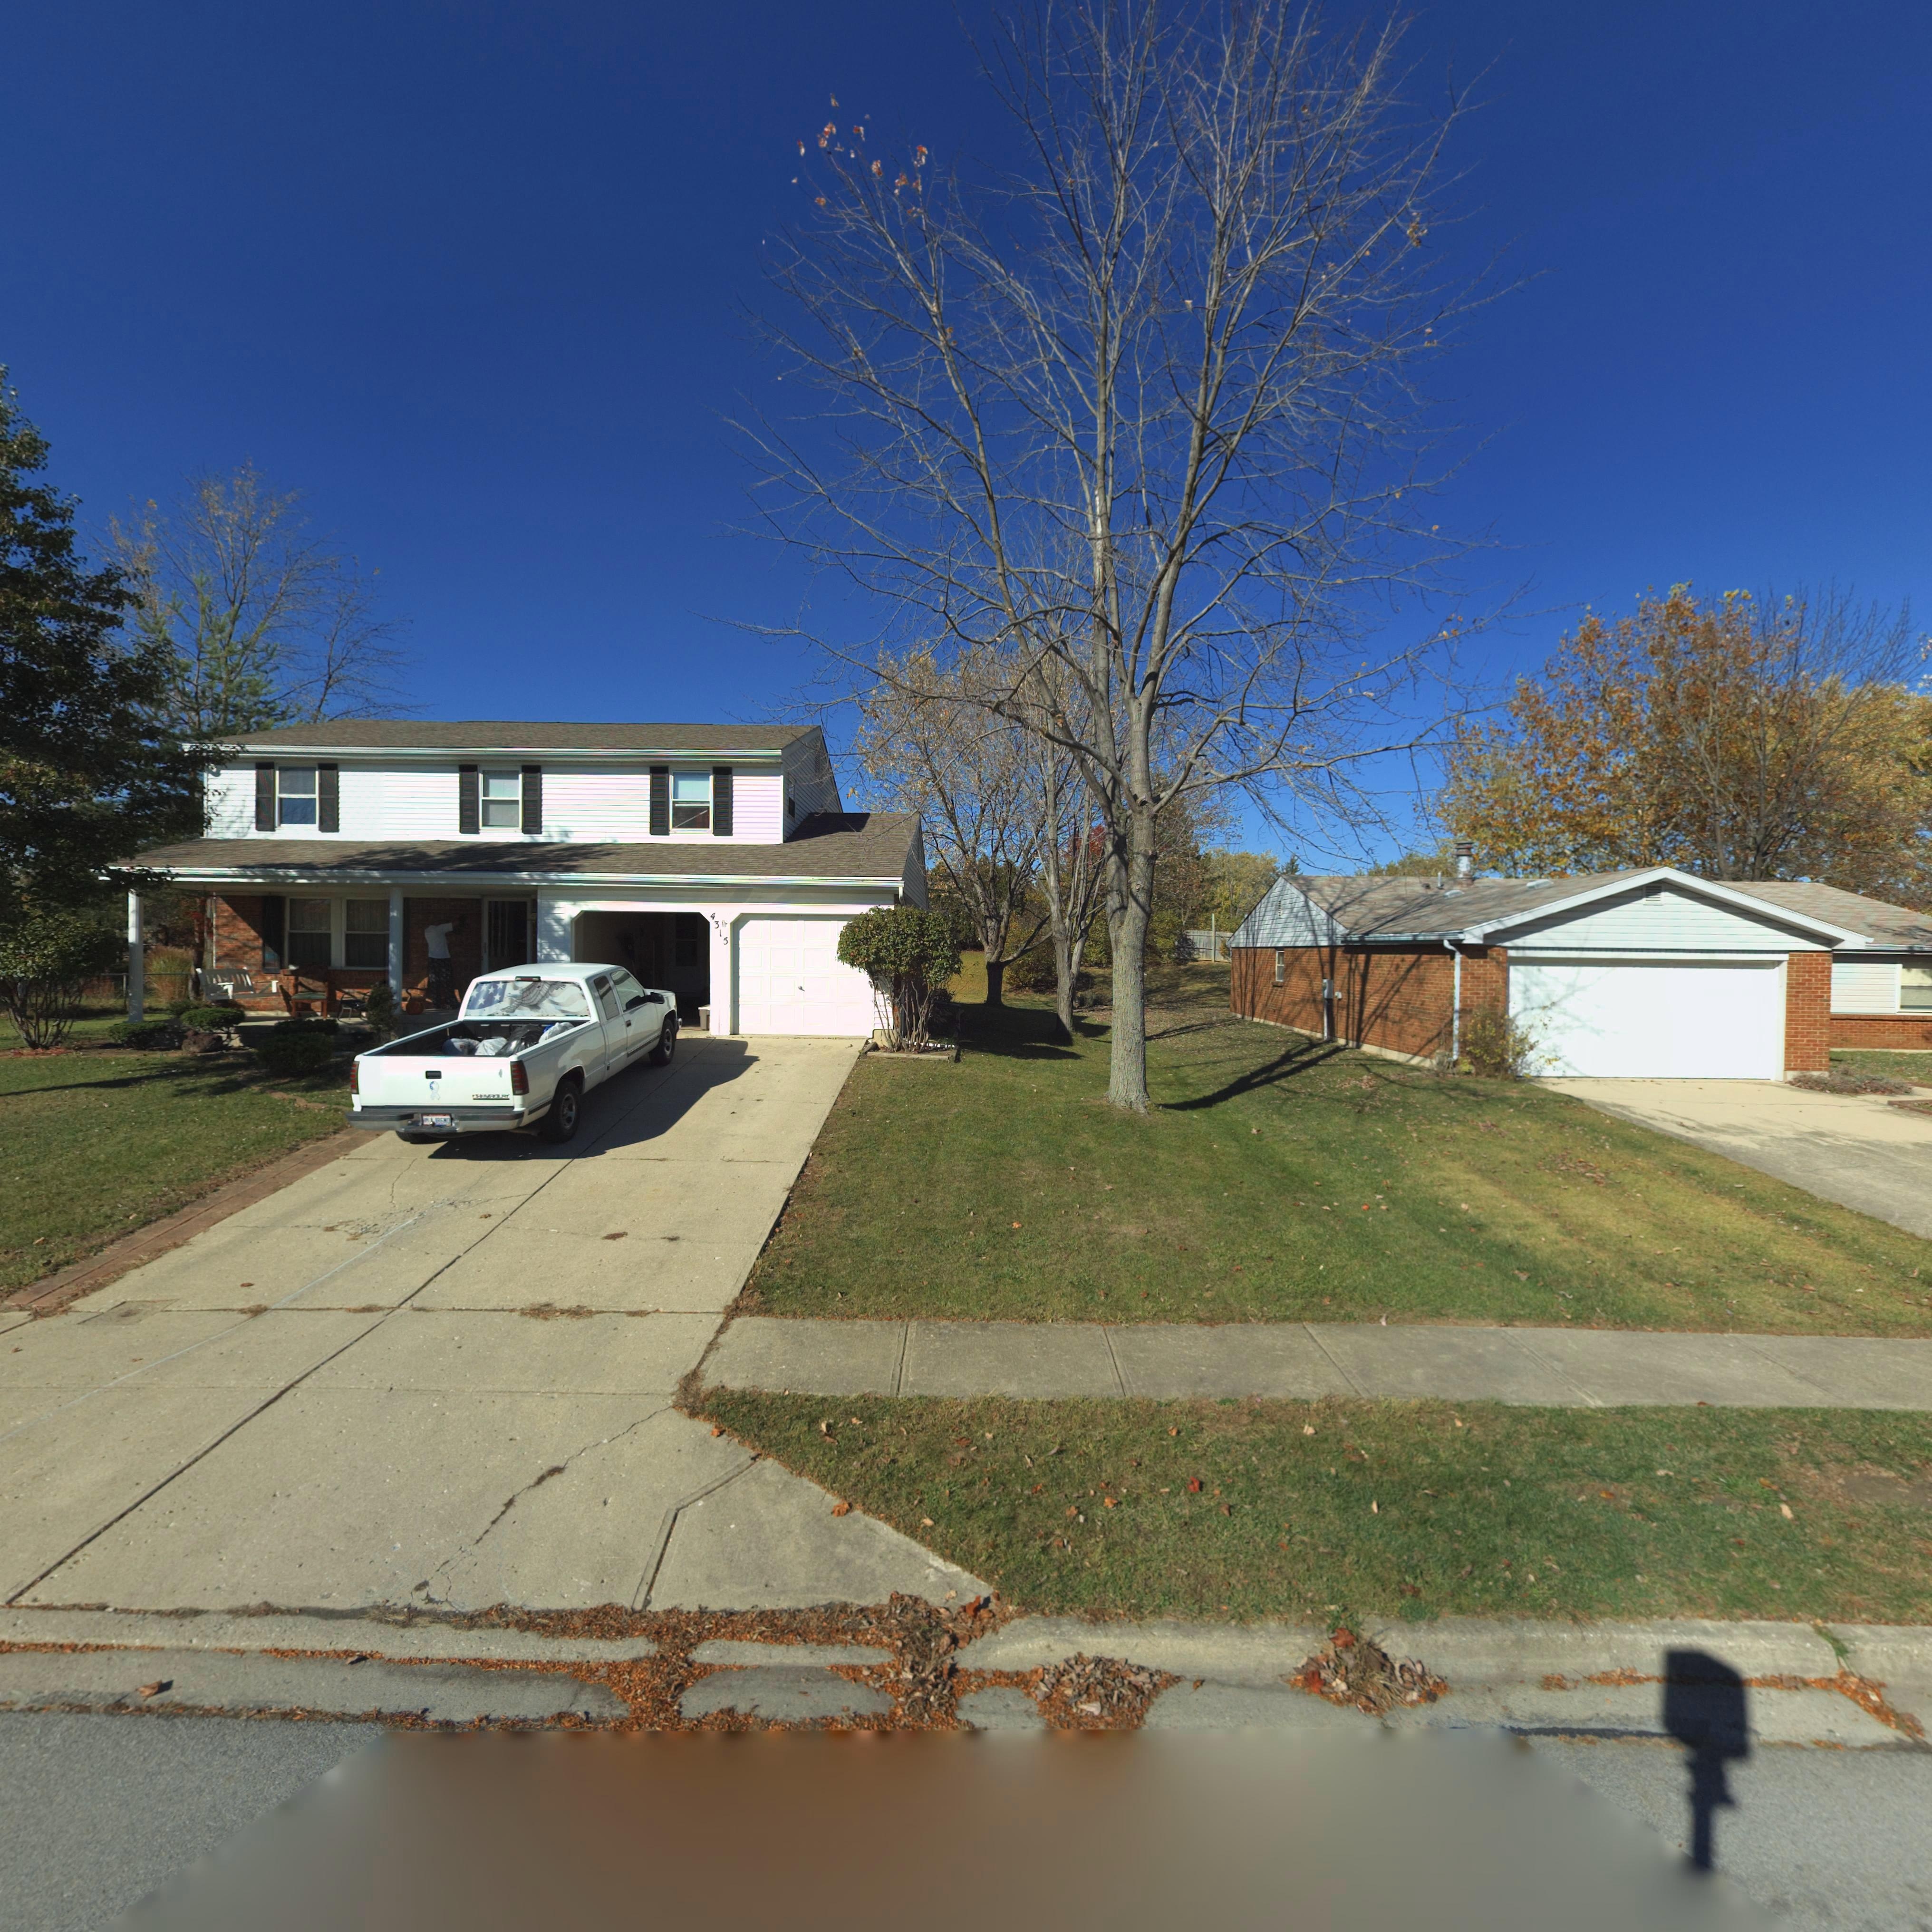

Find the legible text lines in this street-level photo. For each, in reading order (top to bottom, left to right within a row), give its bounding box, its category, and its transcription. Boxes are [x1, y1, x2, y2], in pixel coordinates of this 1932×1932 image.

[709, 911, 729, 946] StreetNumber: 4315